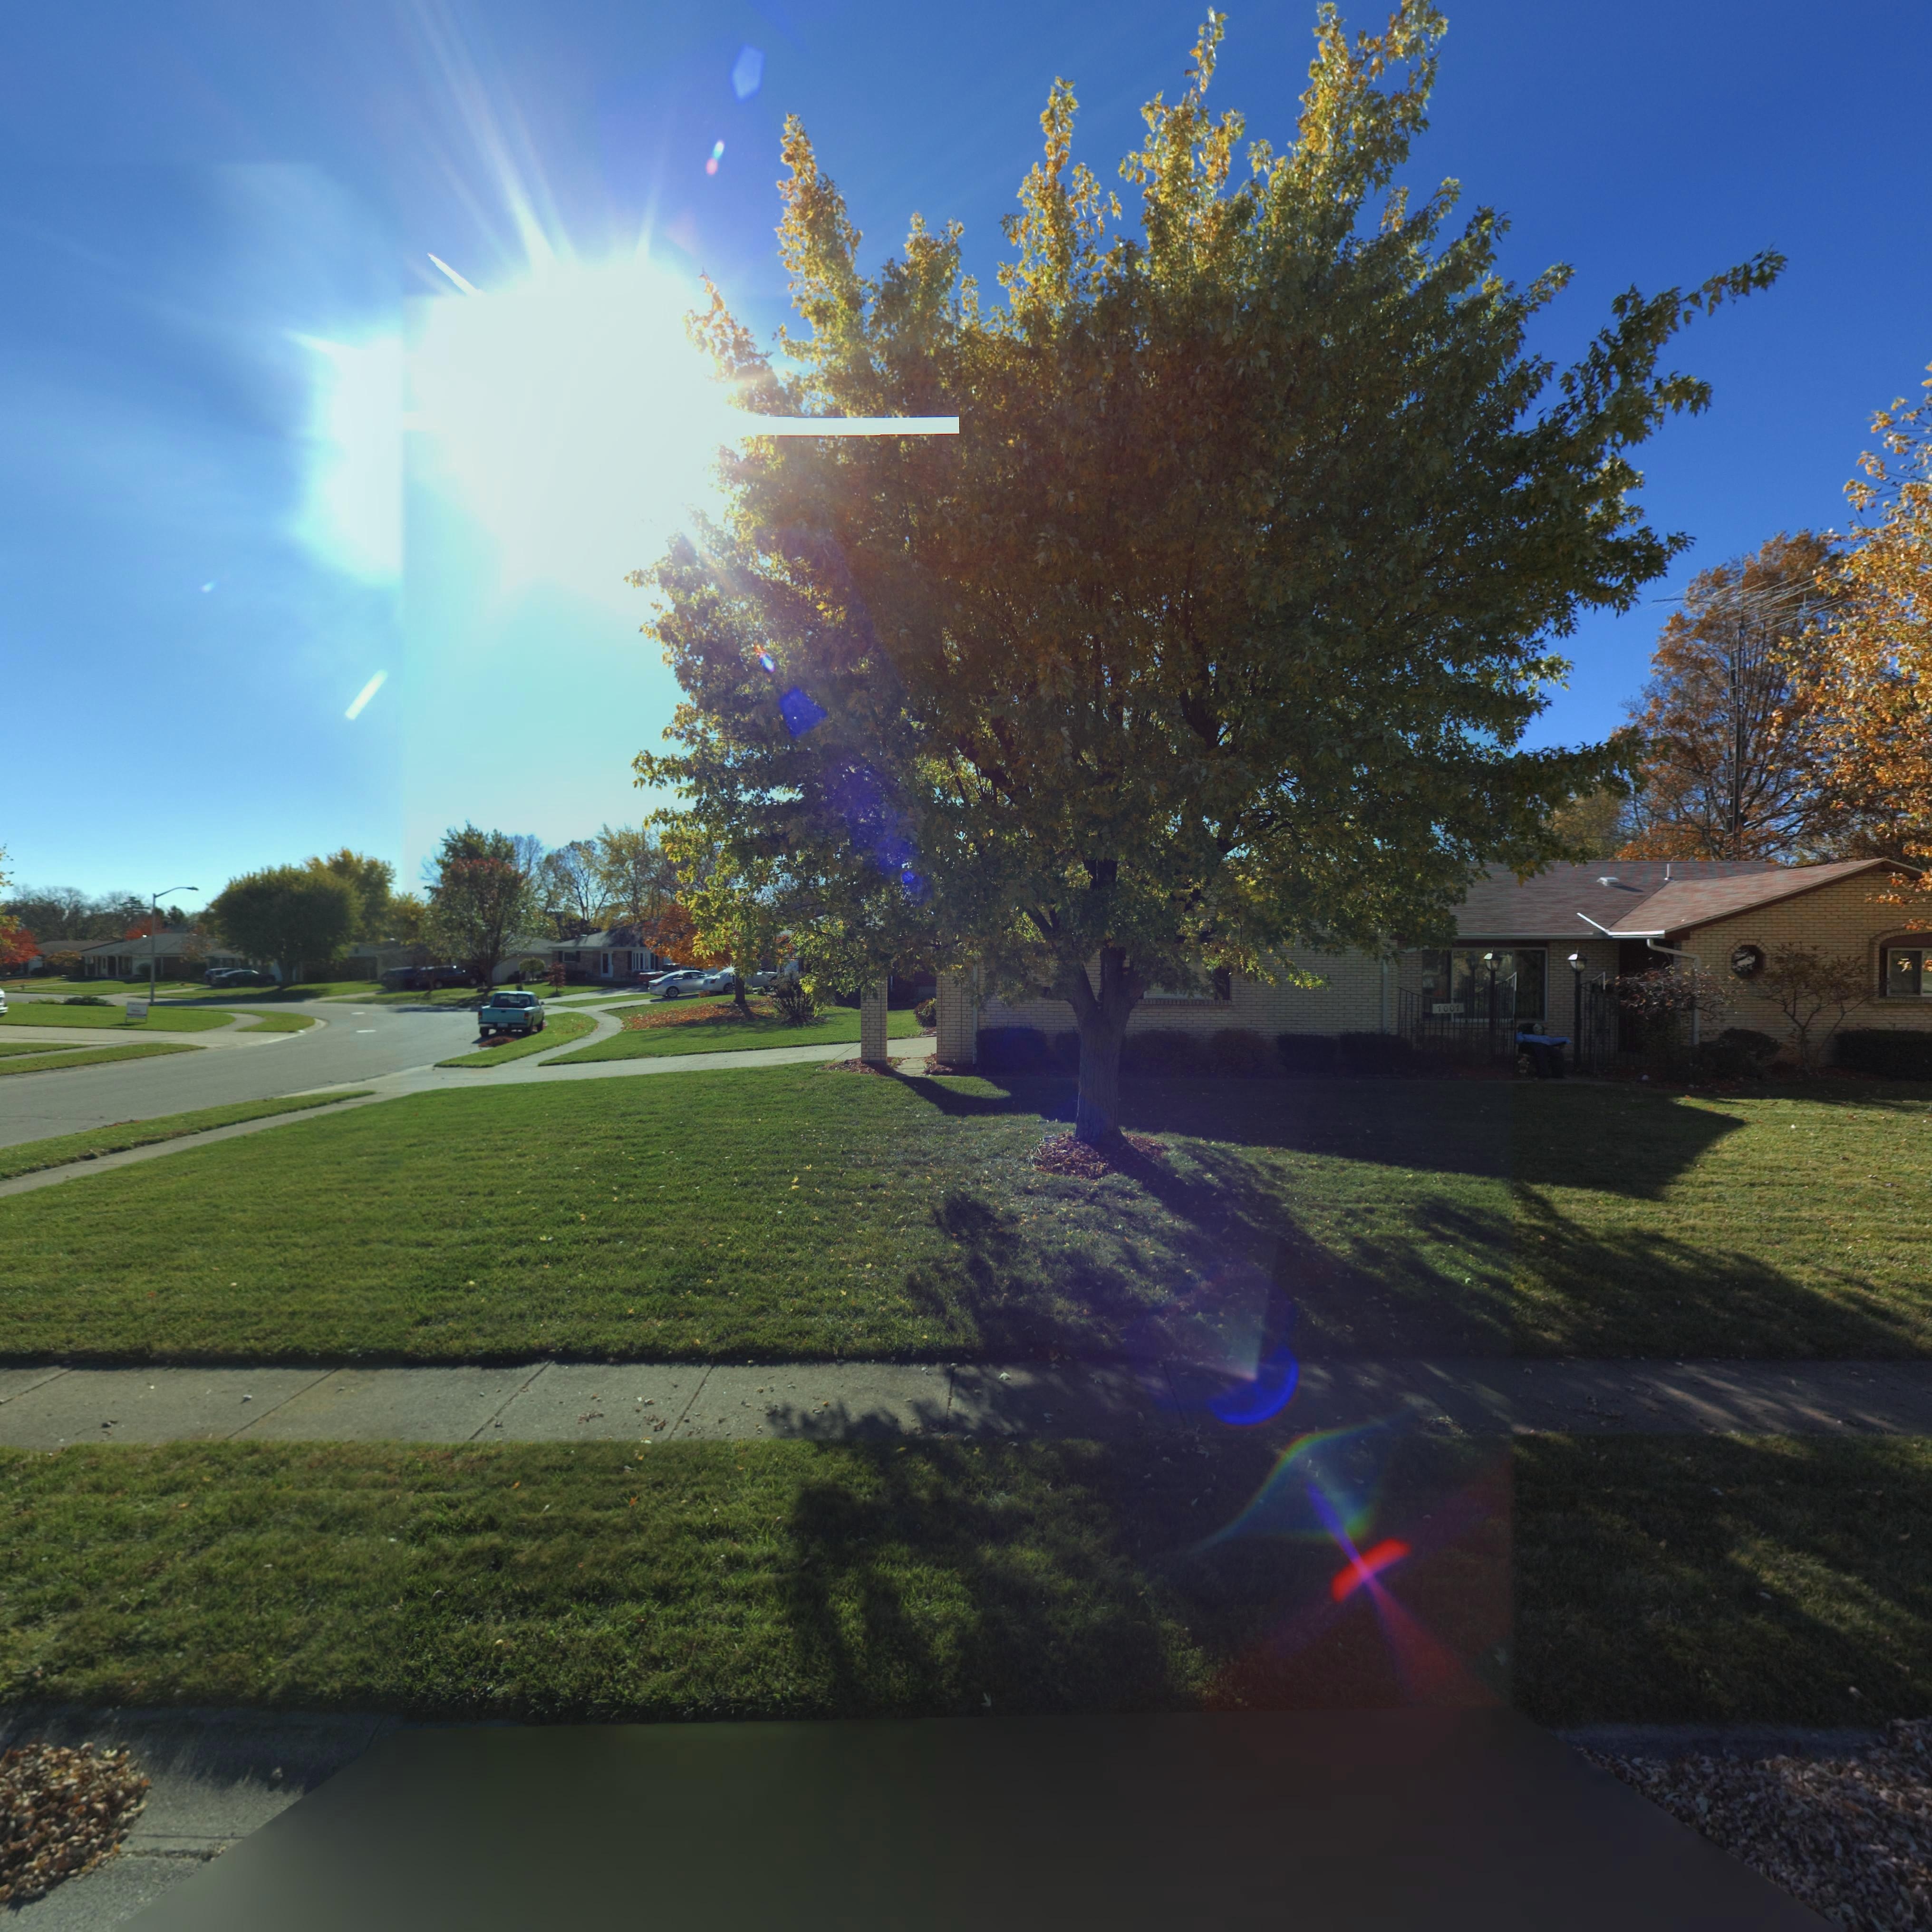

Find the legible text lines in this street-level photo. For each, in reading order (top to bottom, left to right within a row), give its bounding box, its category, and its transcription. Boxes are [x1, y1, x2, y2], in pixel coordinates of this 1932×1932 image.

[1436, 1004, 1460, 1013] StreetNumber: 7007